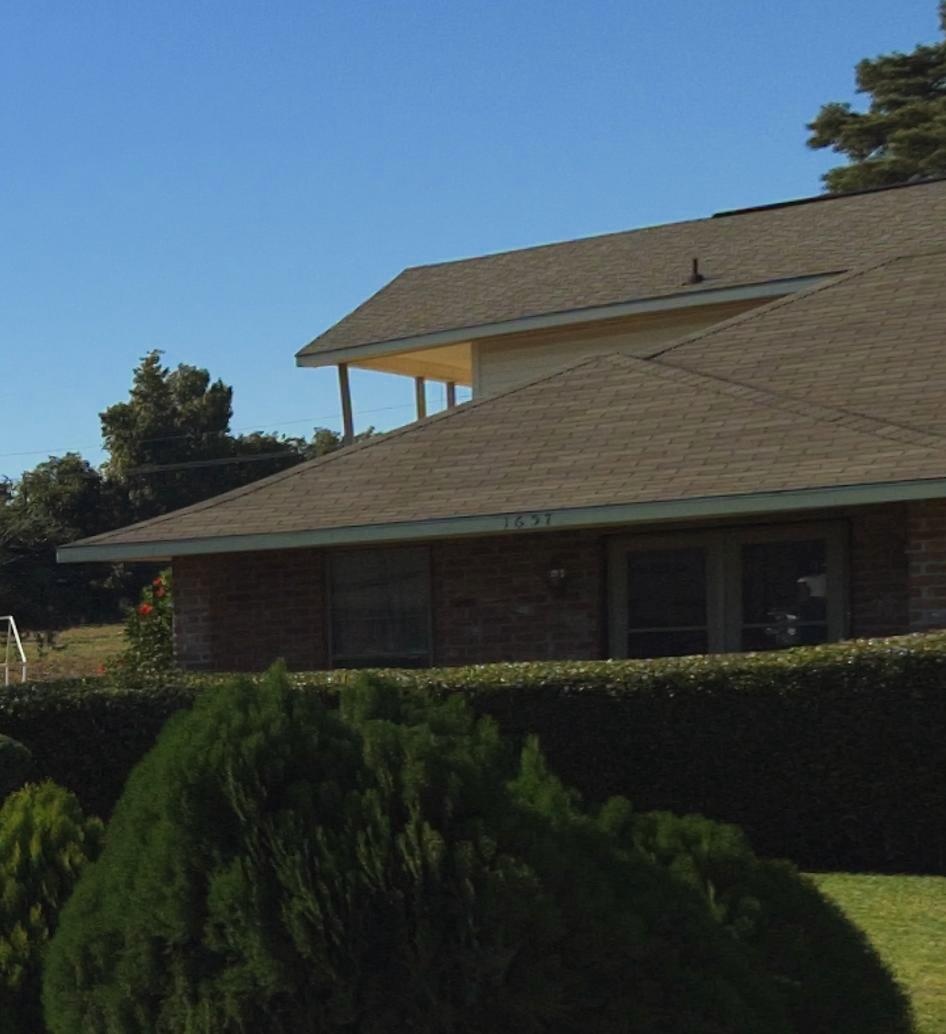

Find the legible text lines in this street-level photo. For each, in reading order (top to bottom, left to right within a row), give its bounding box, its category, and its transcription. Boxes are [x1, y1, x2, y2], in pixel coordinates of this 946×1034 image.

[503, 512, 553, 528] StreetNumber: 1657